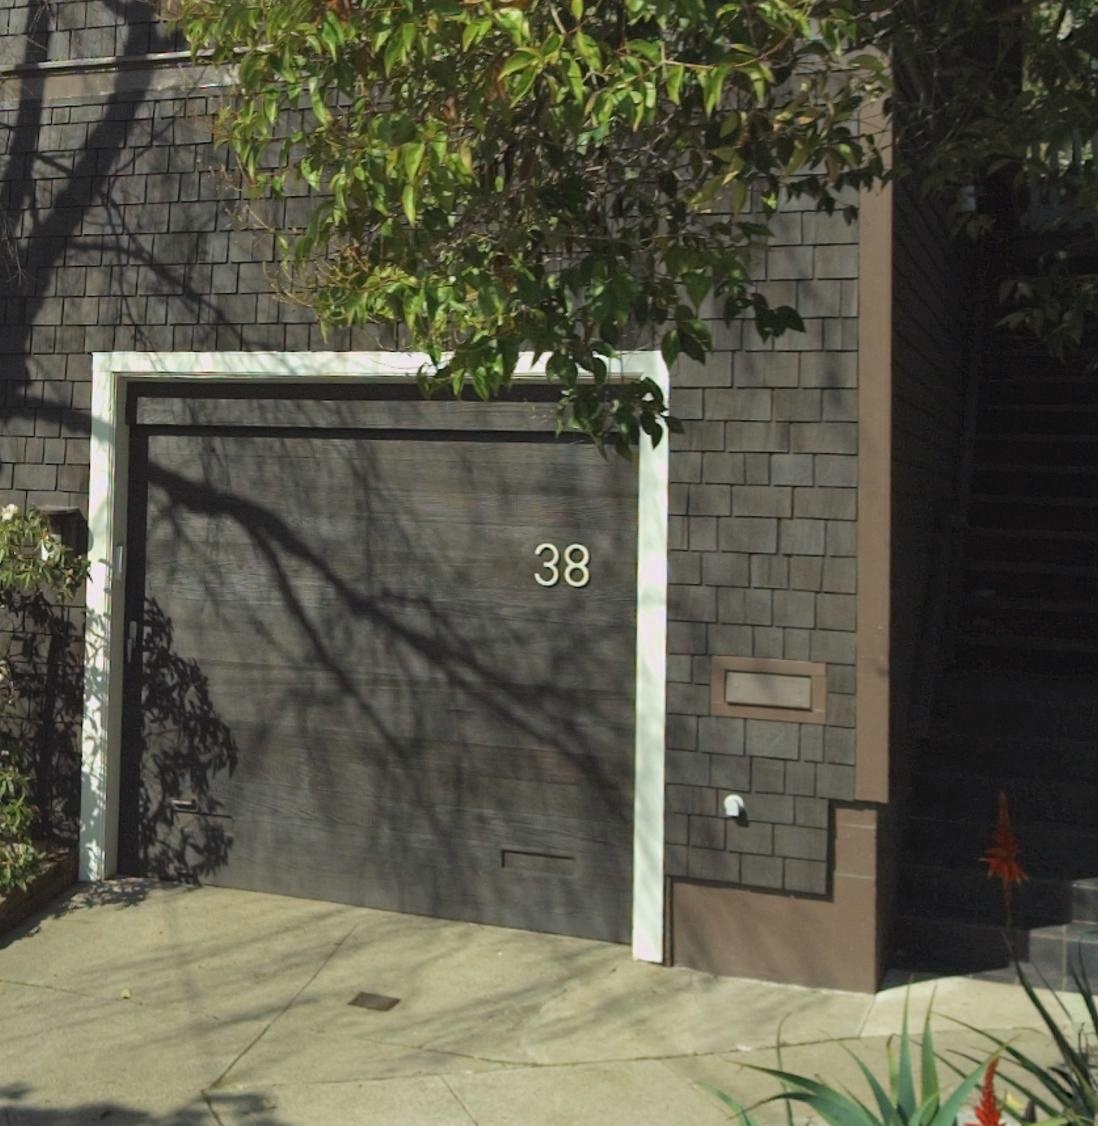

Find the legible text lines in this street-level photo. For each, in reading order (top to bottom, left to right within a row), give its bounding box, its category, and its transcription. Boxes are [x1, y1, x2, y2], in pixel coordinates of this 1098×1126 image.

[530, 540, 594, 590] StreetNumber: 38